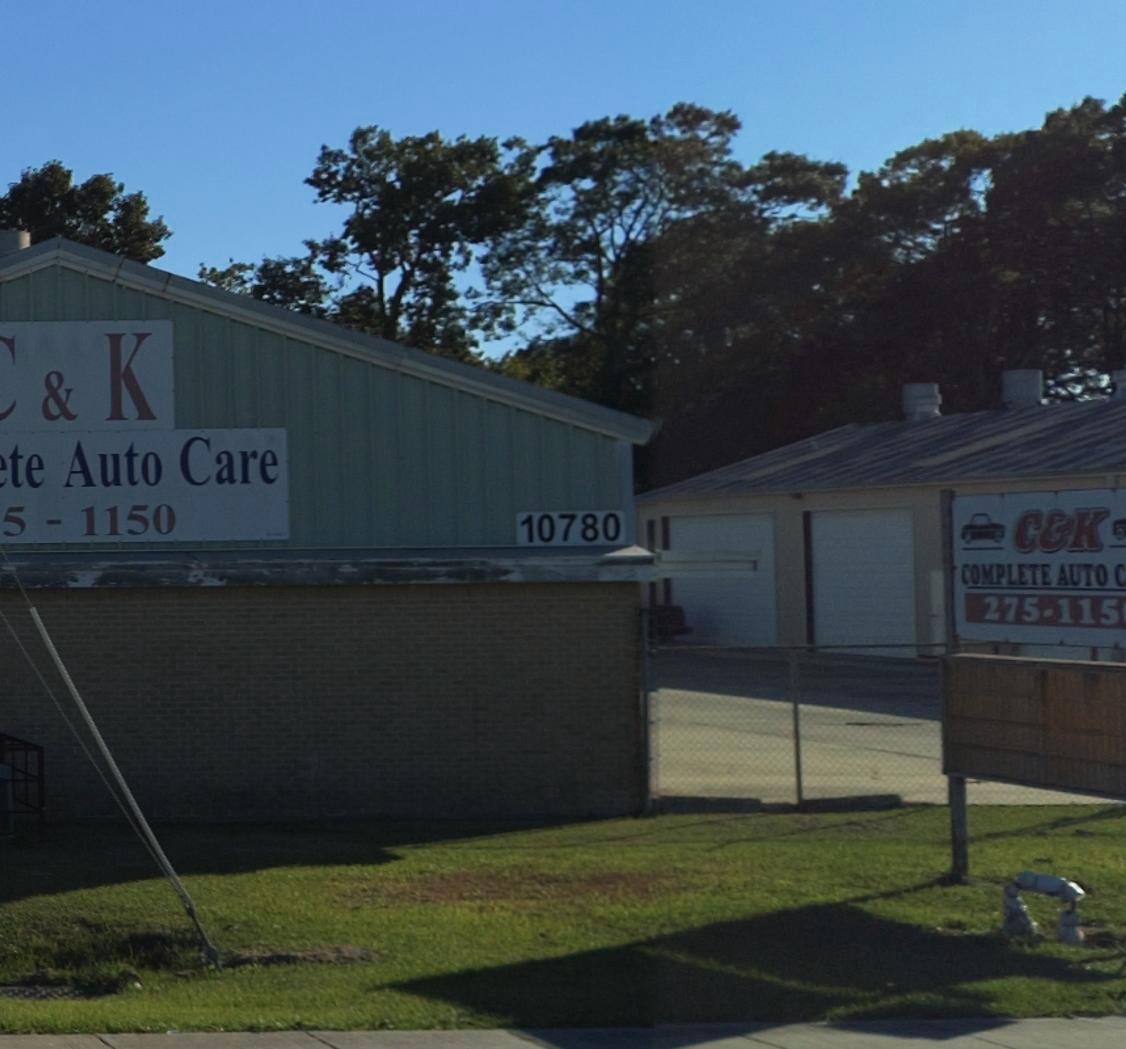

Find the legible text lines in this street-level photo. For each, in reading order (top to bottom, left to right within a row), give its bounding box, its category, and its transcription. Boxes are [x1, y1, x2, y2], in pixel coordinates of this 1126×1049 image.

[100, 329, 160, 424] BusinessName: K
[5, 435, 280, 491] None: te Auto Care
[1, 502, 179, 538] None: 5-1150
[517, 511, 623, 545] StreetNumber: 10780
[1011, 505, 1115, 555] BusinessName: C&K
[958, 562, 1111, 588] None: COMPLETE AUTO
[981, 593, 1122, 627] None: 275-115